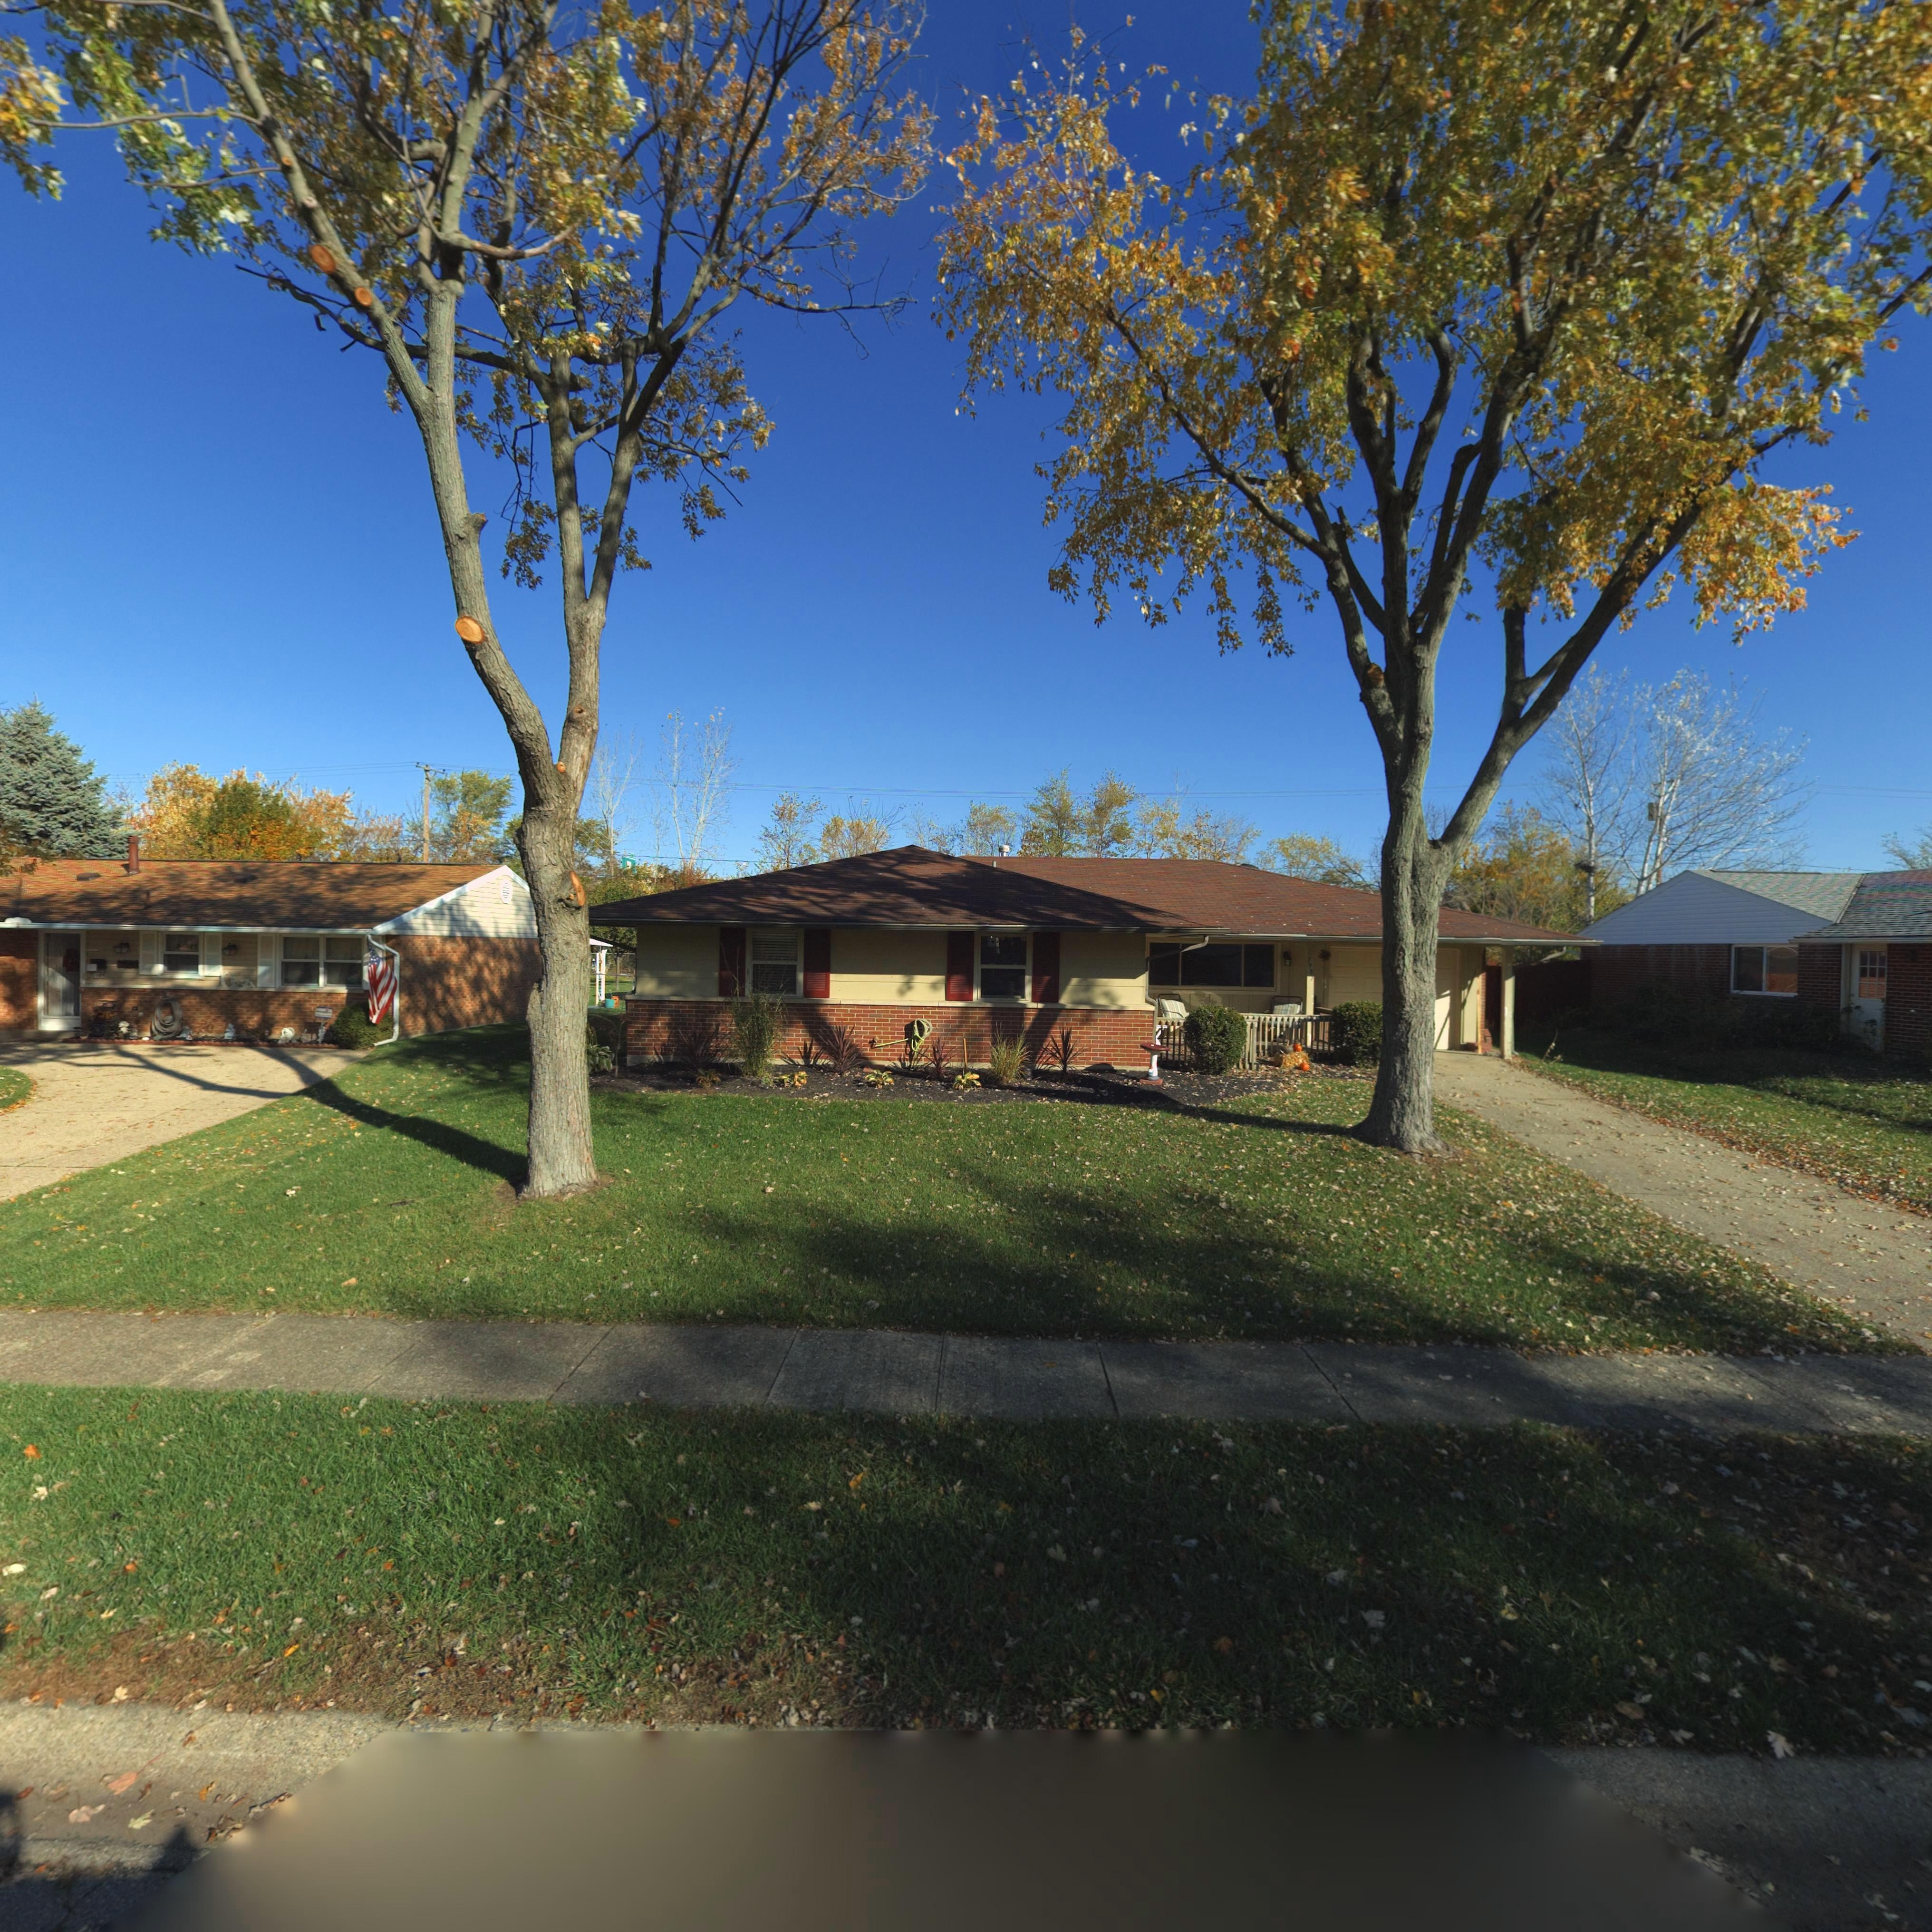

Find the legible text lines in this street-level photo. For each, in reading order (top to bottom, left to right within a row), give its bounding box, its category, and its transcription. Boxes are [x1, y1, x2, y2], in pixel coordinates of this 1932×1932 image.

[91, 973, 106, 979] StreetNumber: 7***
[1307, 956, 1314, 982] StreetNumber: 7987